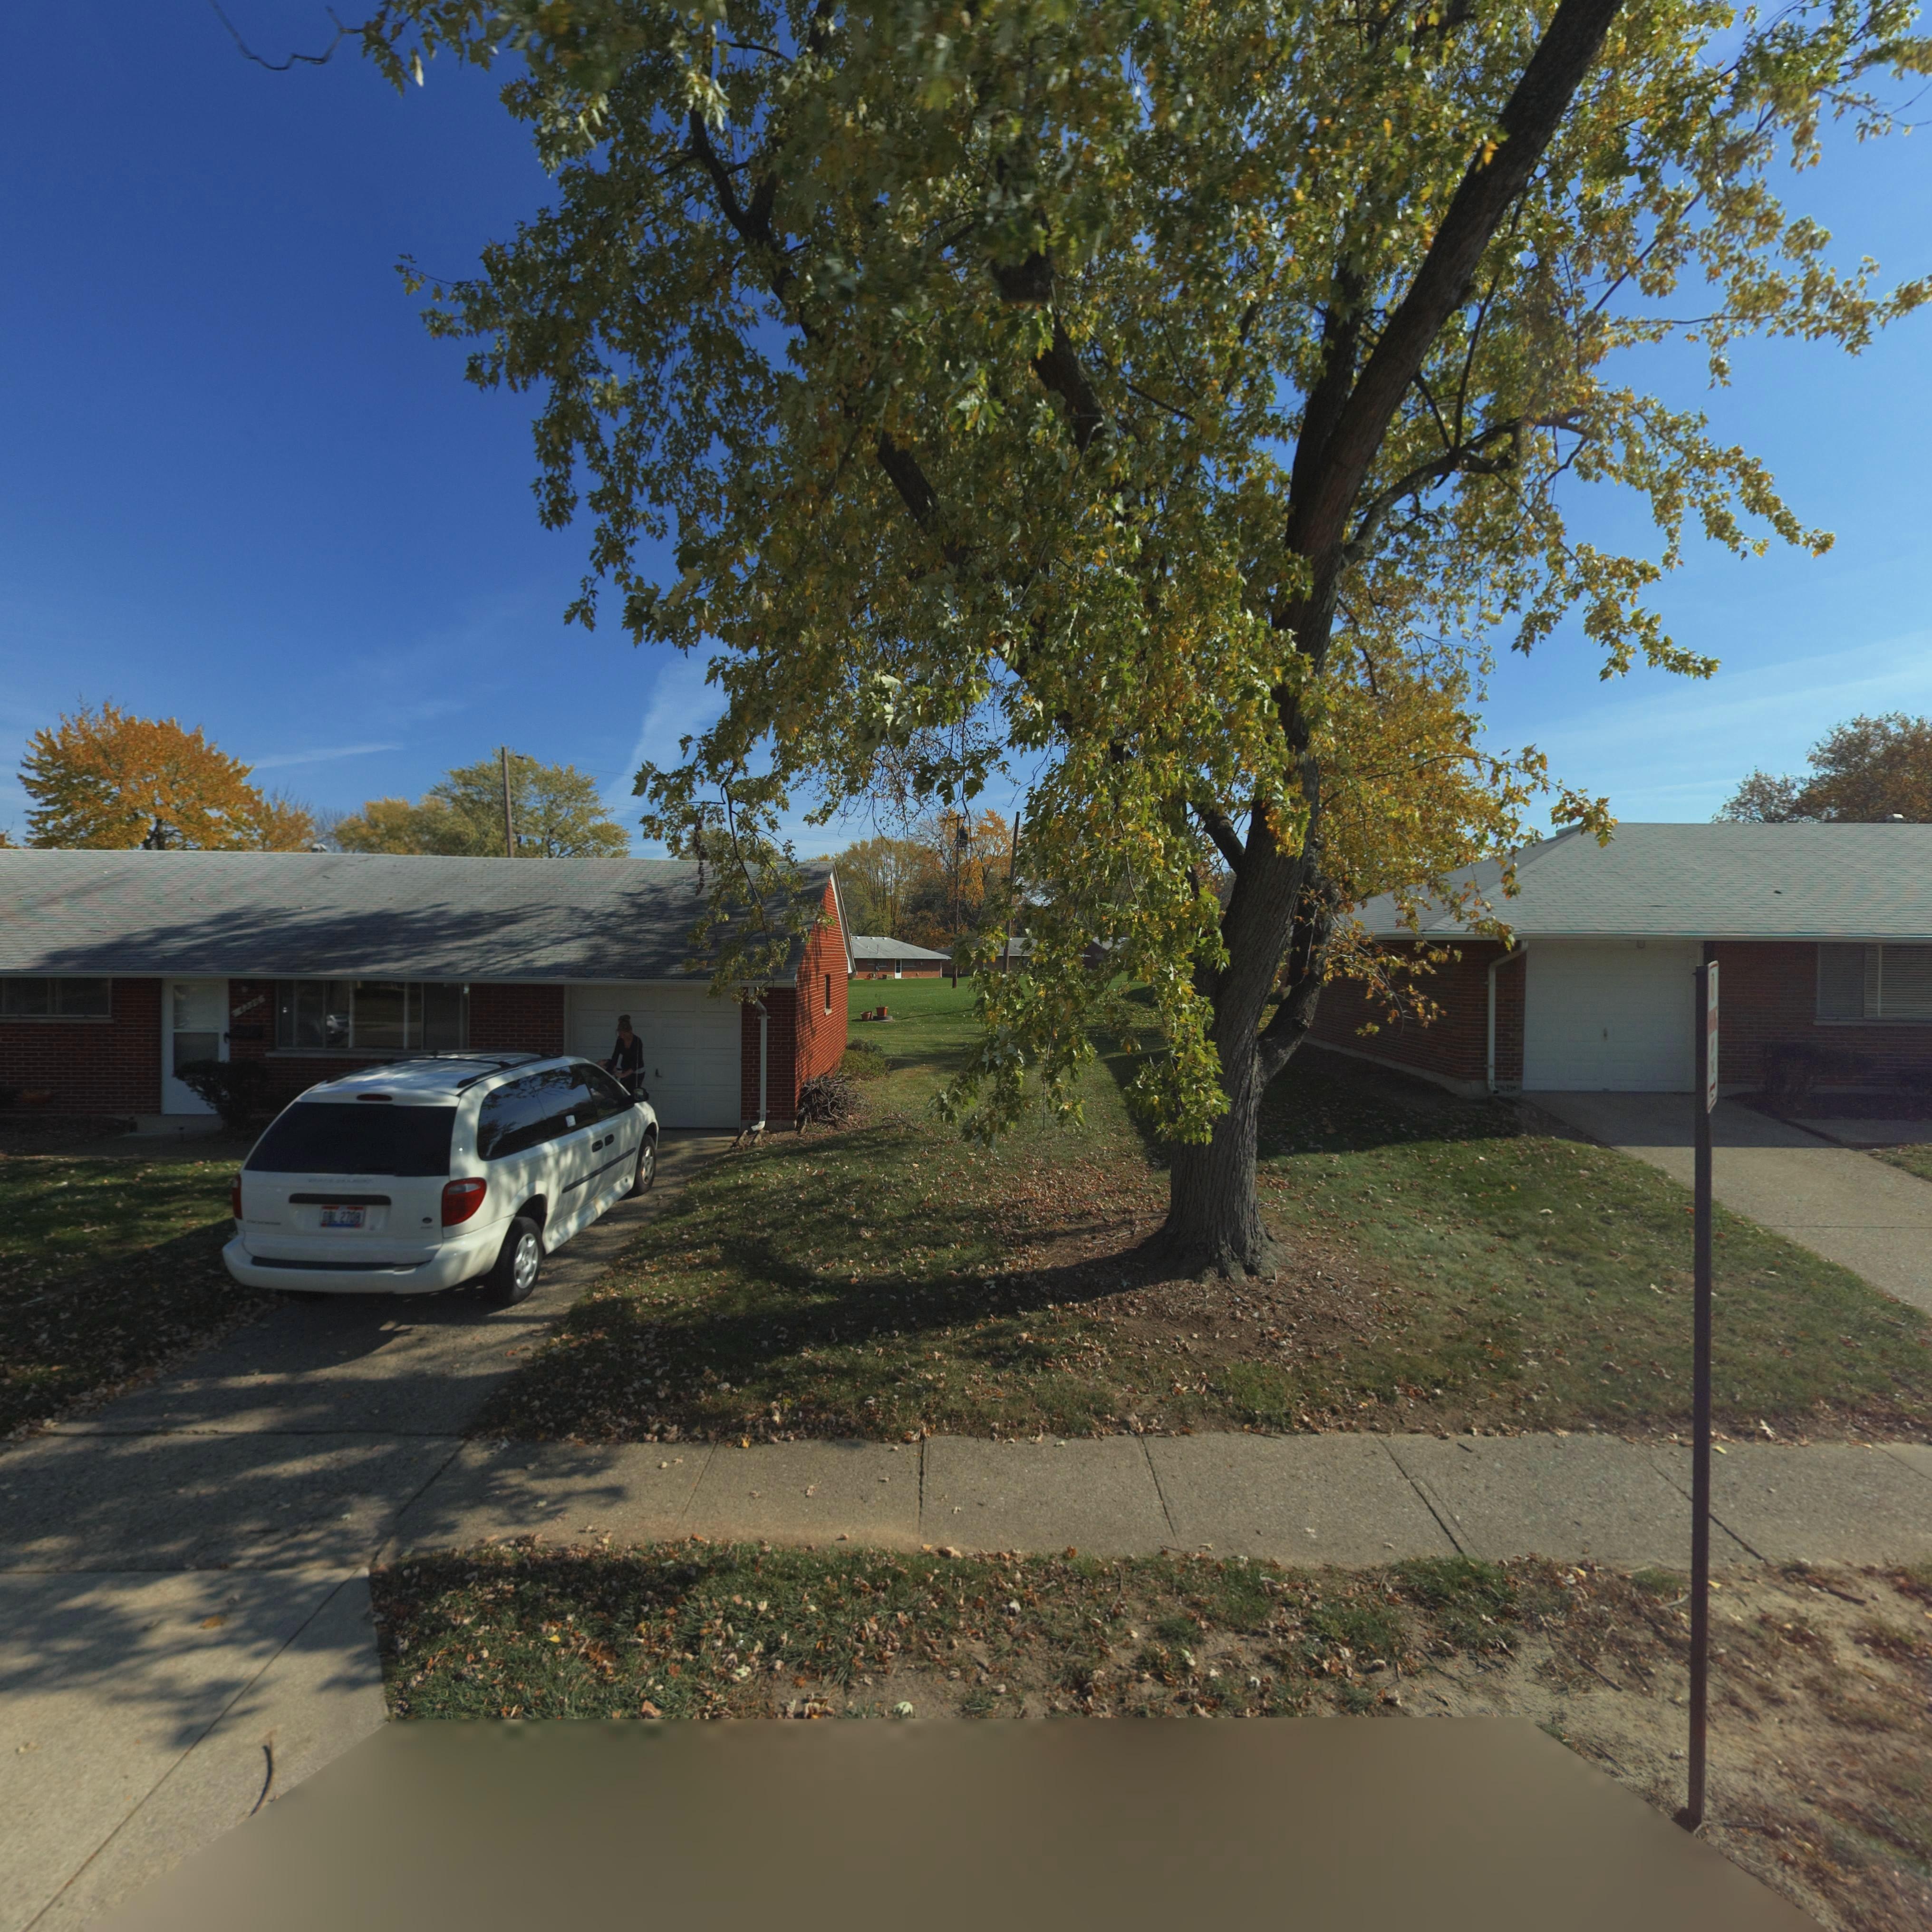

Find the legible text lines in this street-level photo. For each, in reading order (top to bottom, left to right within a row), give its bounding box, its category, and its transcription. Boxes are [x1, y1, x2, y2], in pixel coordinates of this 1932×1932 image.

[238, 995, 262, 1015] StreetNumber: 4238